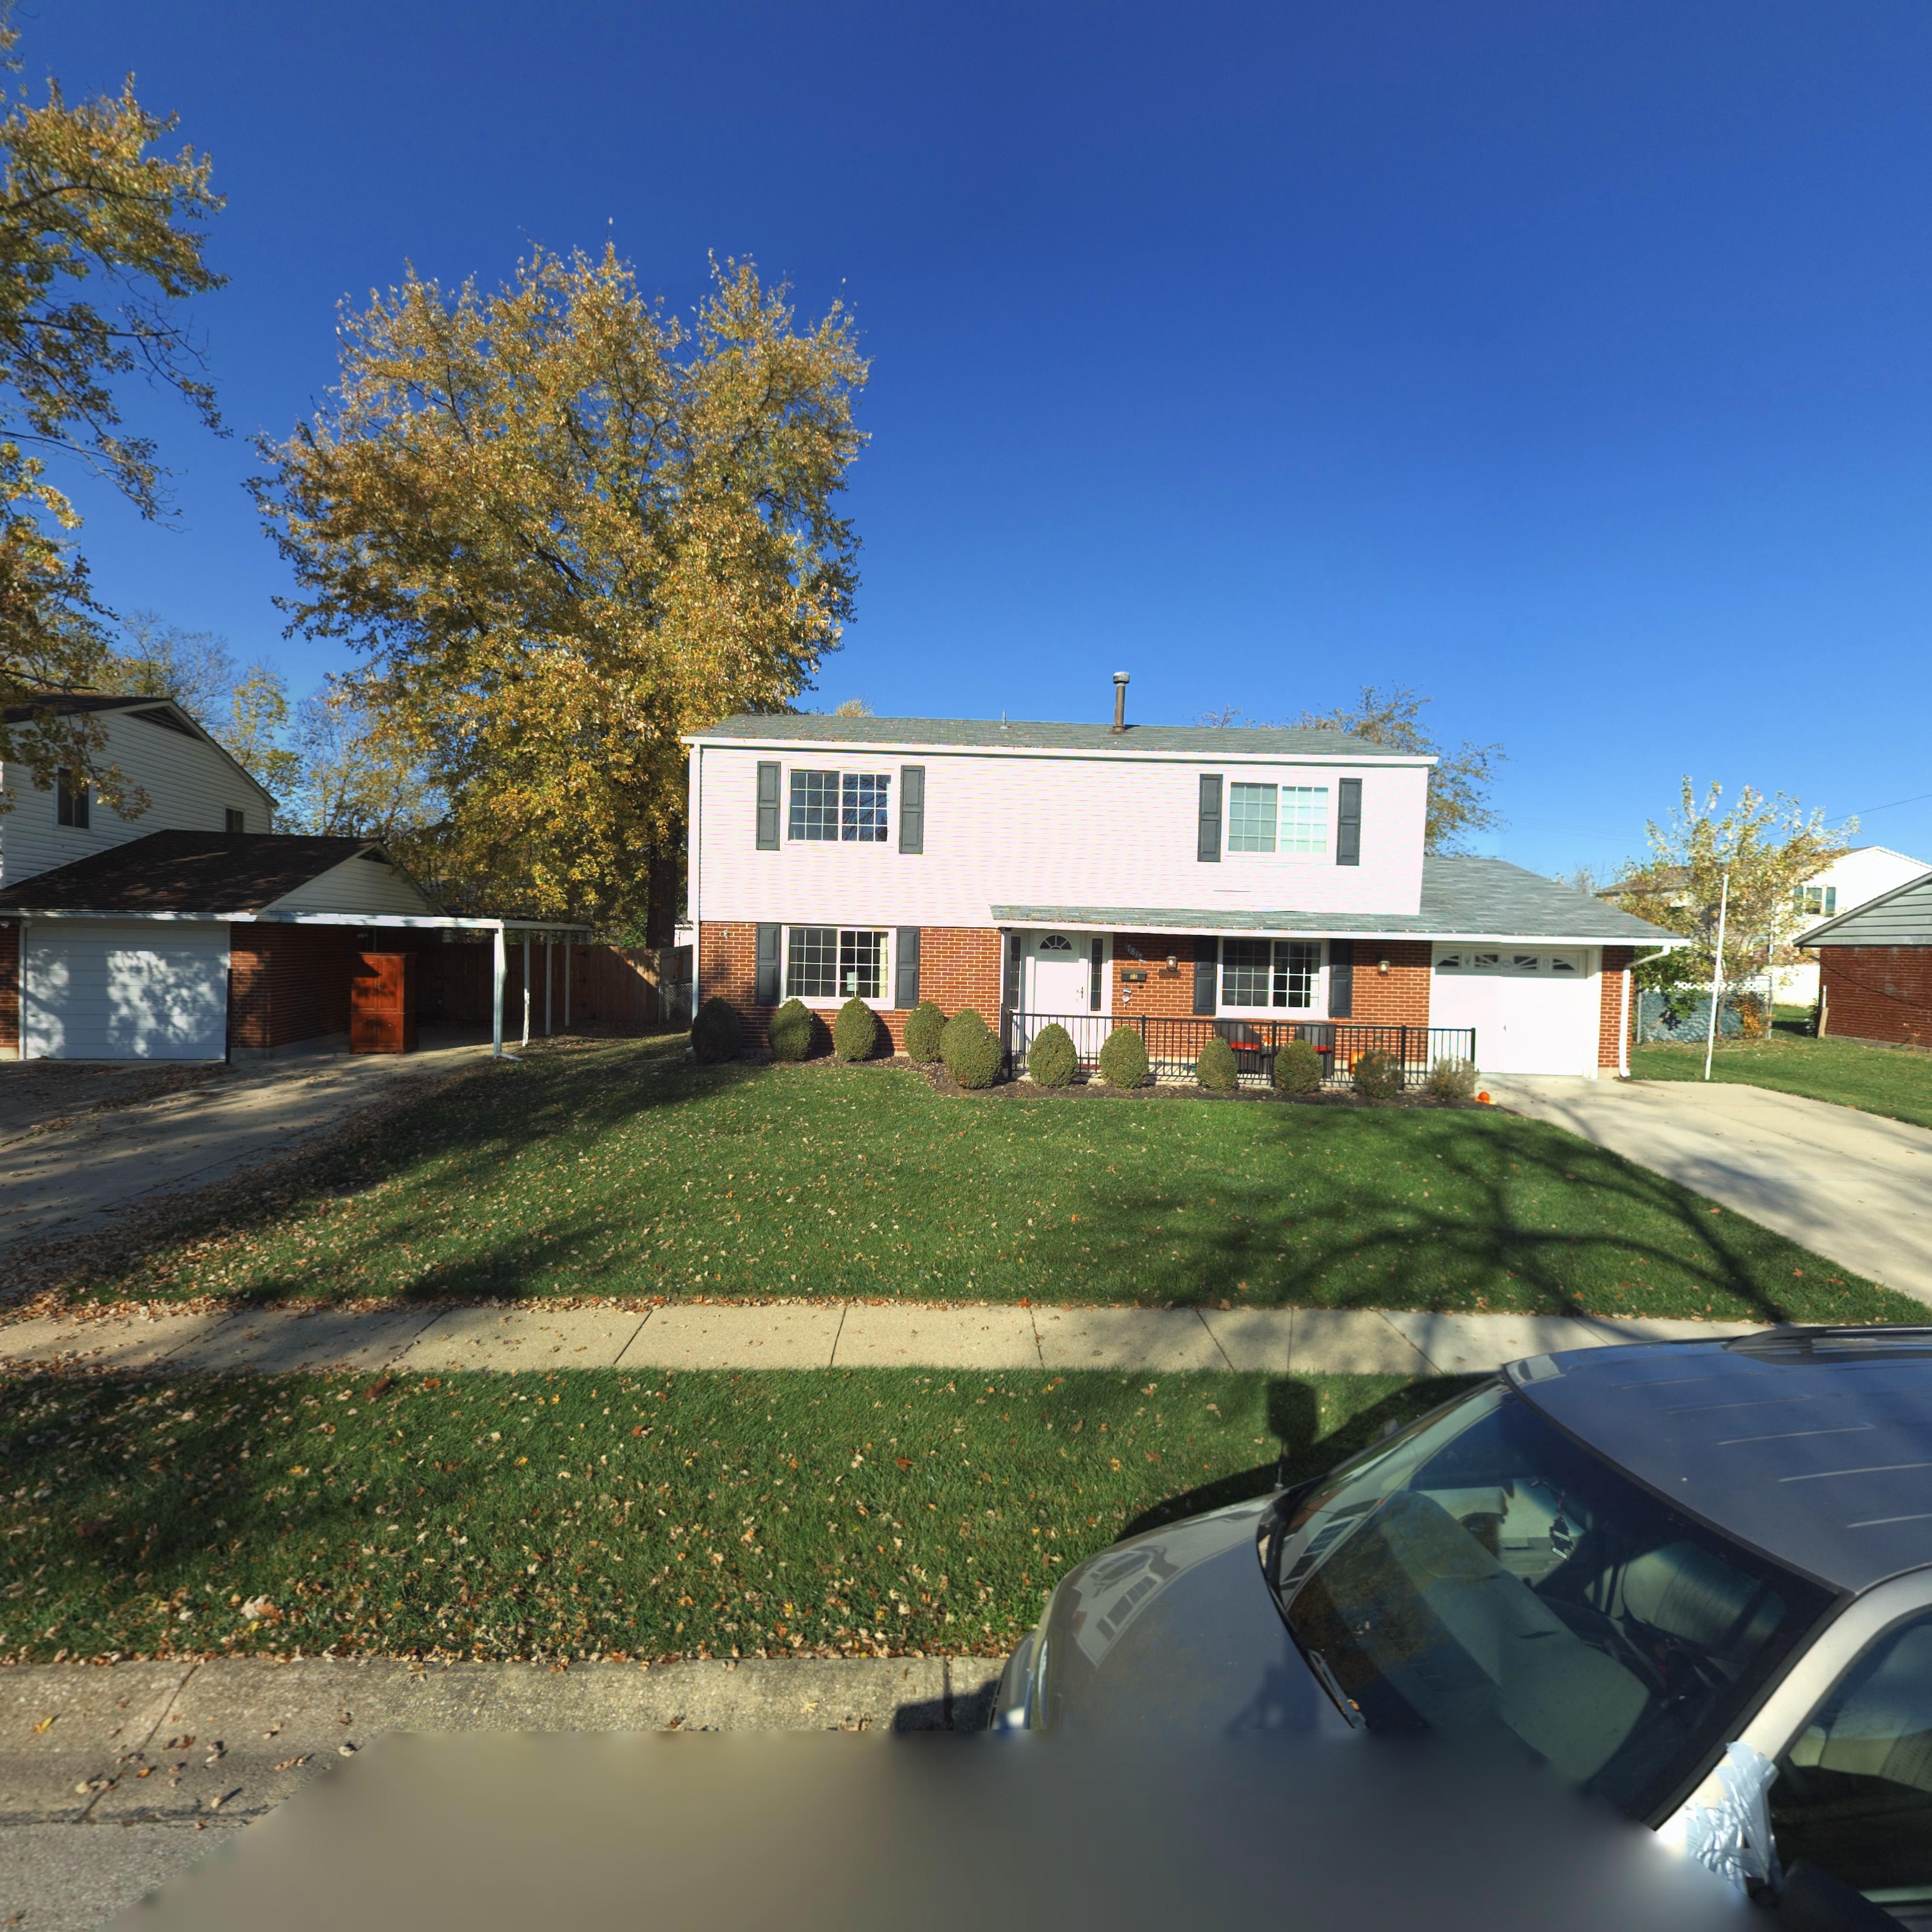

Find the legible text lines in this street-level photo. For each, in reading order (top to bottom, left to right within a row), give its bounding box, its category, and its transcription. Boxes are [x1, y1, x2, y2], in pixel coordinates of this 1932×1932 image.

[1126, 944, 1143, 962] StreetNumber: 781*